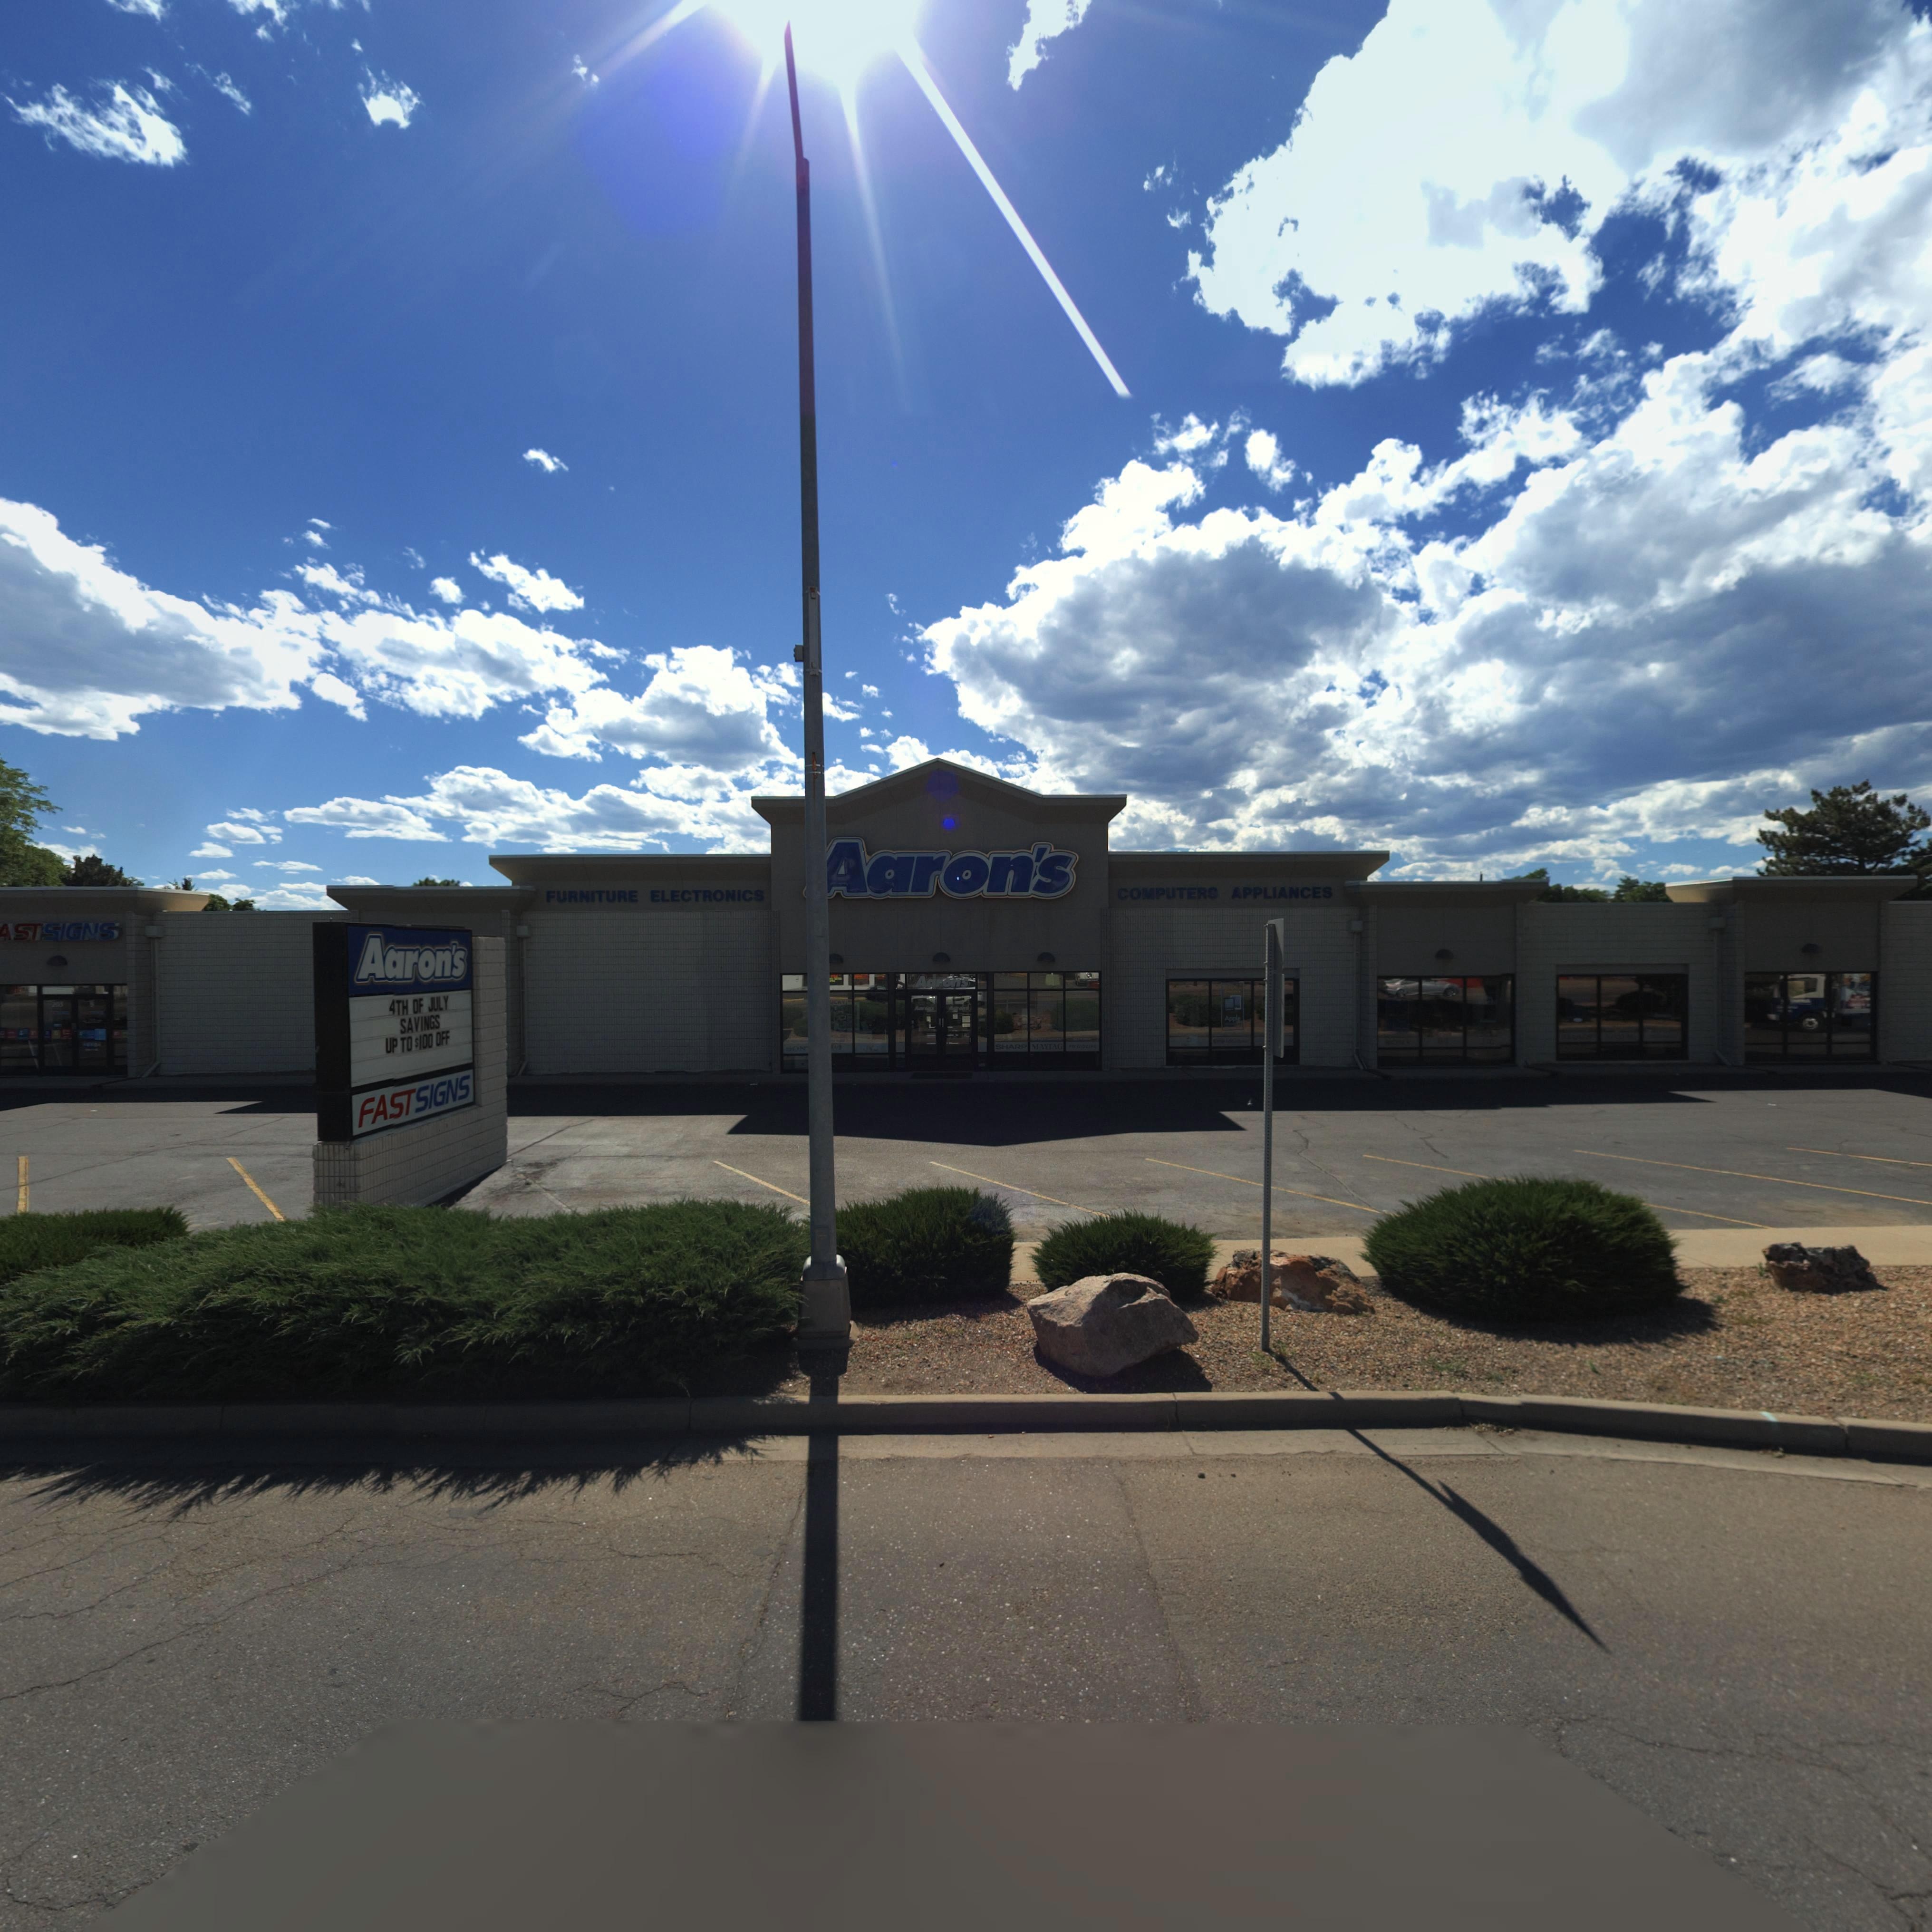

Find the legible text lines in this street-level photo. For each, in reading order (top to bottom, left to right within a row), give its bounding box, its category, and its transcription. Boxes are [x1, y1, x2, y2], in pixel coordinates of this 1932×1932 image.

[806, 840, 1073, 895] BusinessName: Aaron's
[12, 922, 116, 941] BusinessName: STSIGNS
[355, 934, 467, 983] BusinessName: Aaron's
[913, 975, 969, 988] BusinessName: Aaron's
[51, 1000, 64, 1008] StreetNumber: 203
[914, 1005, 934, 1010] BusinessName: Aaro*s
[948, 1005, 969, 1011] BusinessName: Aaron*
[357, 1073, 470, 1129] BusinessName: FASTSIGNS